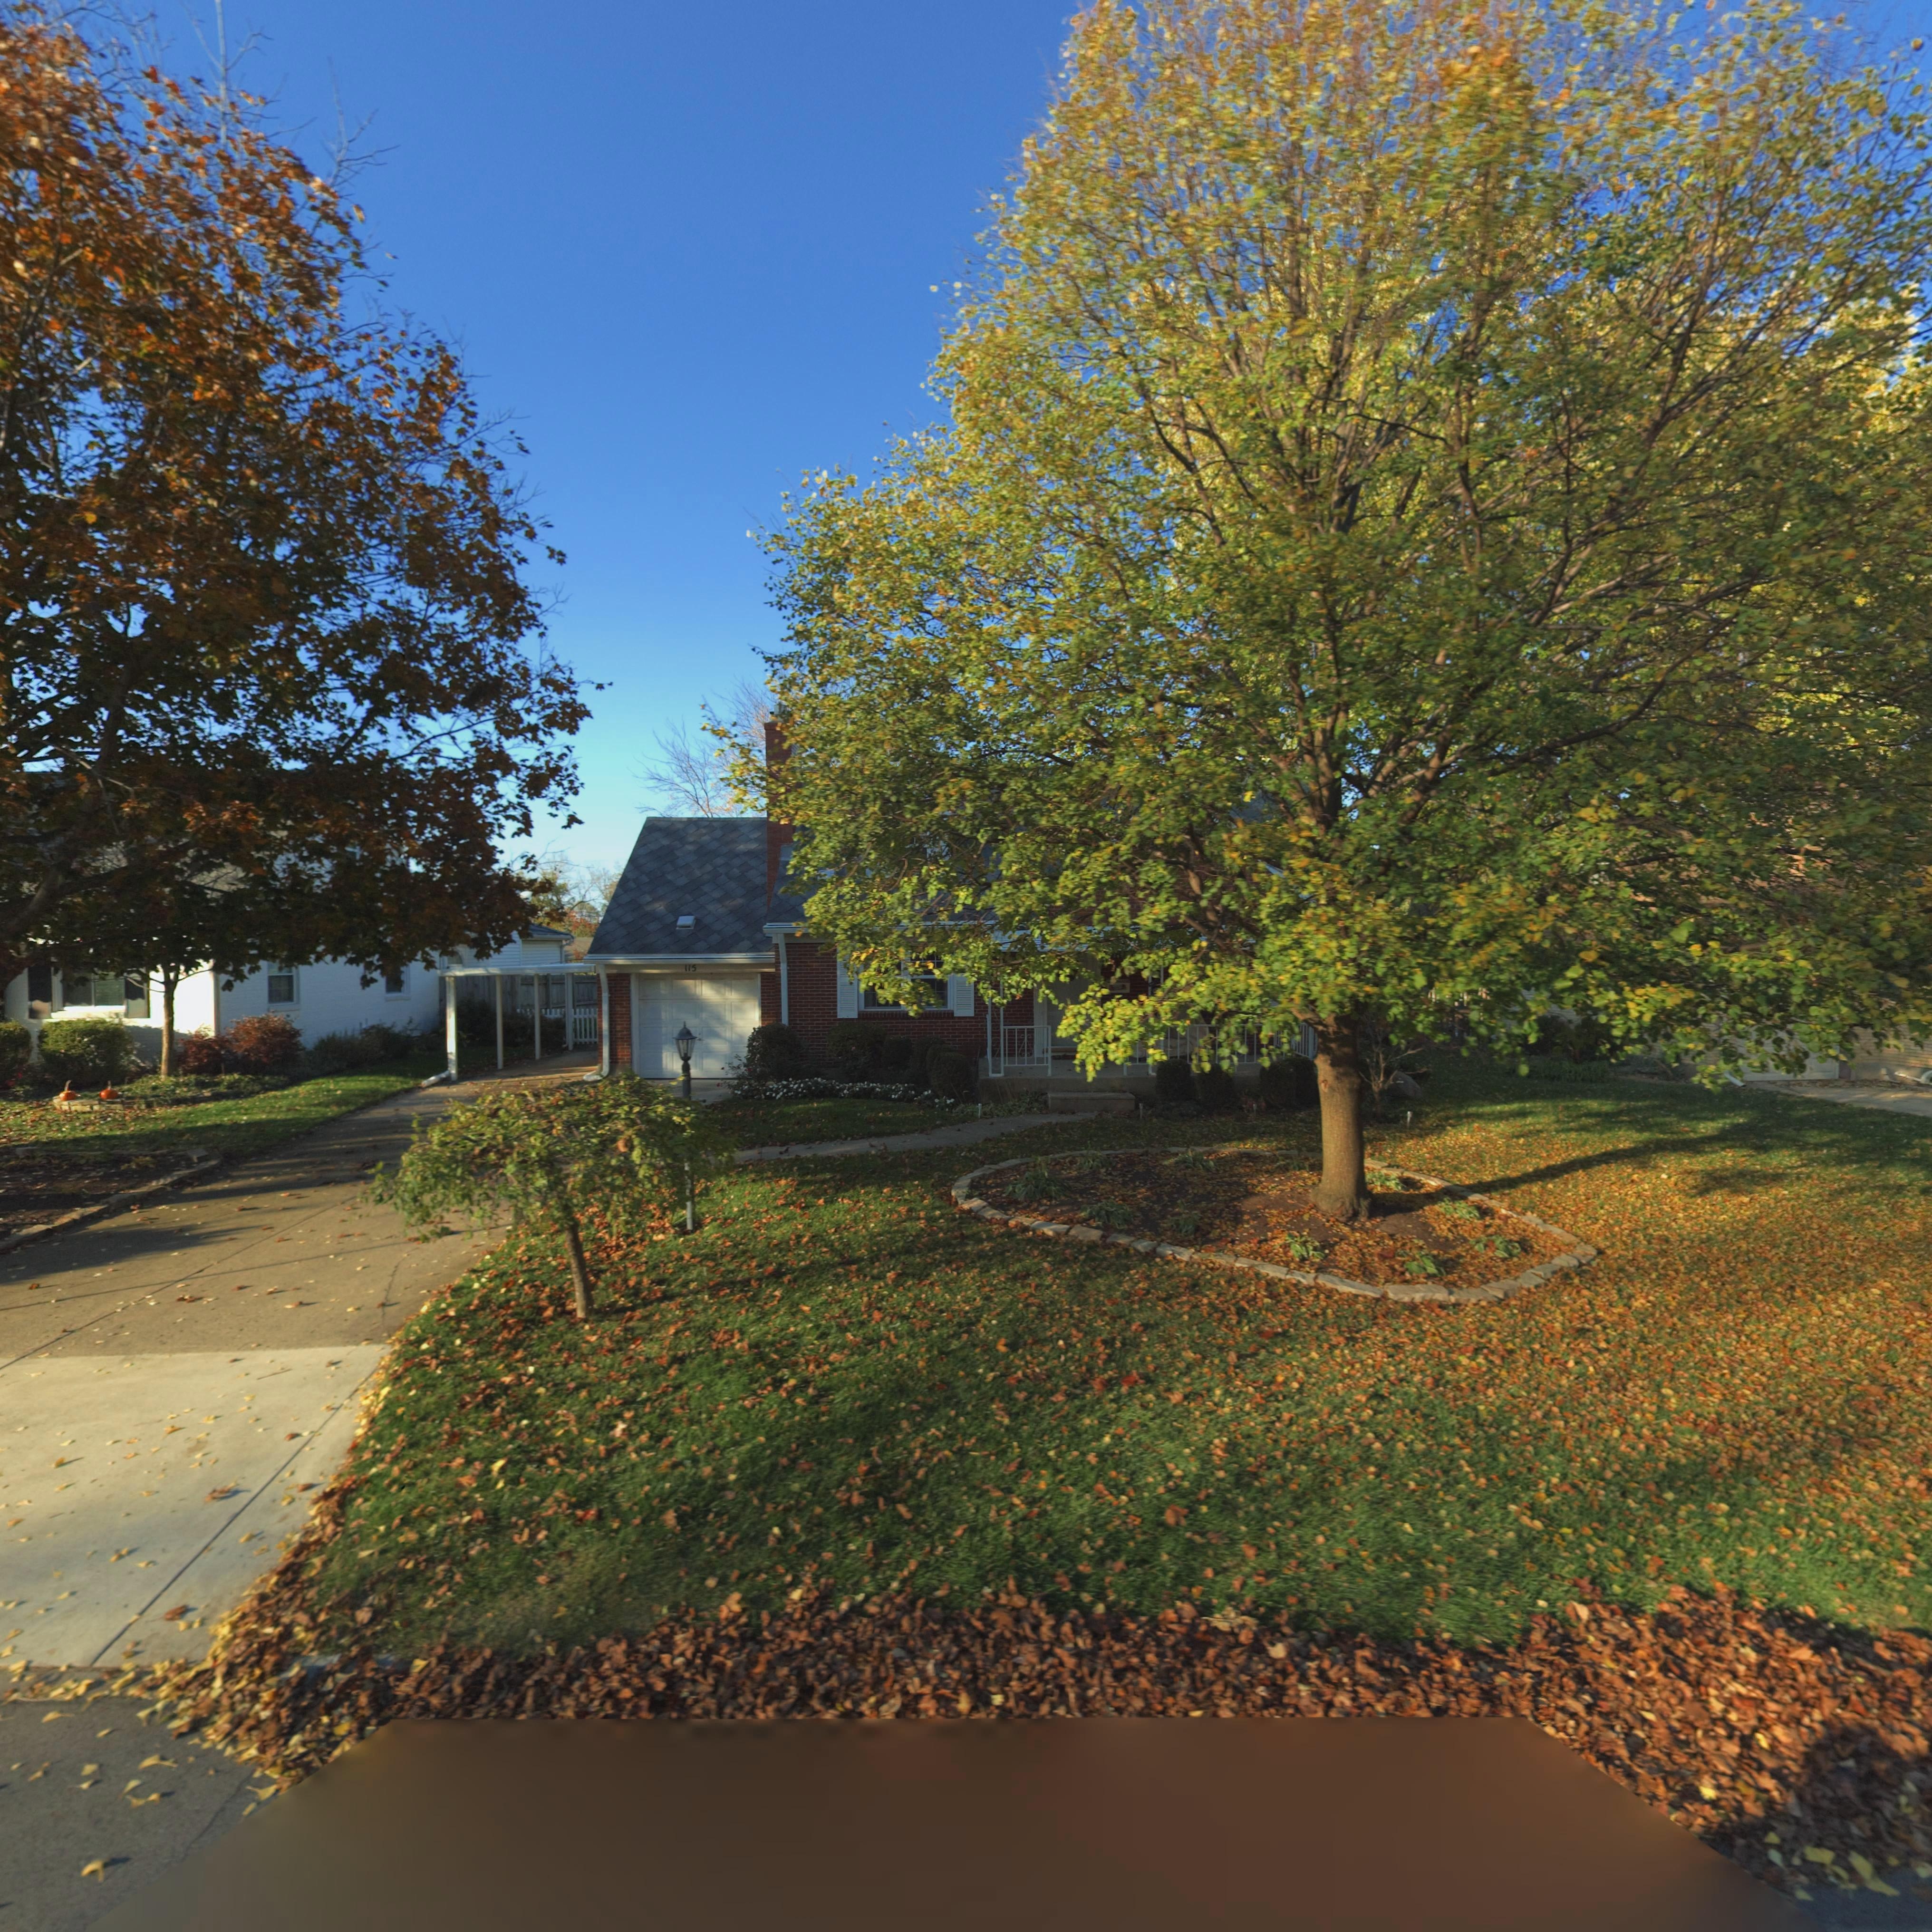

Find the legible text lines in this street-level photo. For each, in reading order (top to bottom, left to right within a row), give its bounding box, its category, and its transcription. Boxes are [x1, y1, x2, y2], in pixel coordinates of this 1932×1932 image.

[684, 963, 697, 973] StreetNumber: 115